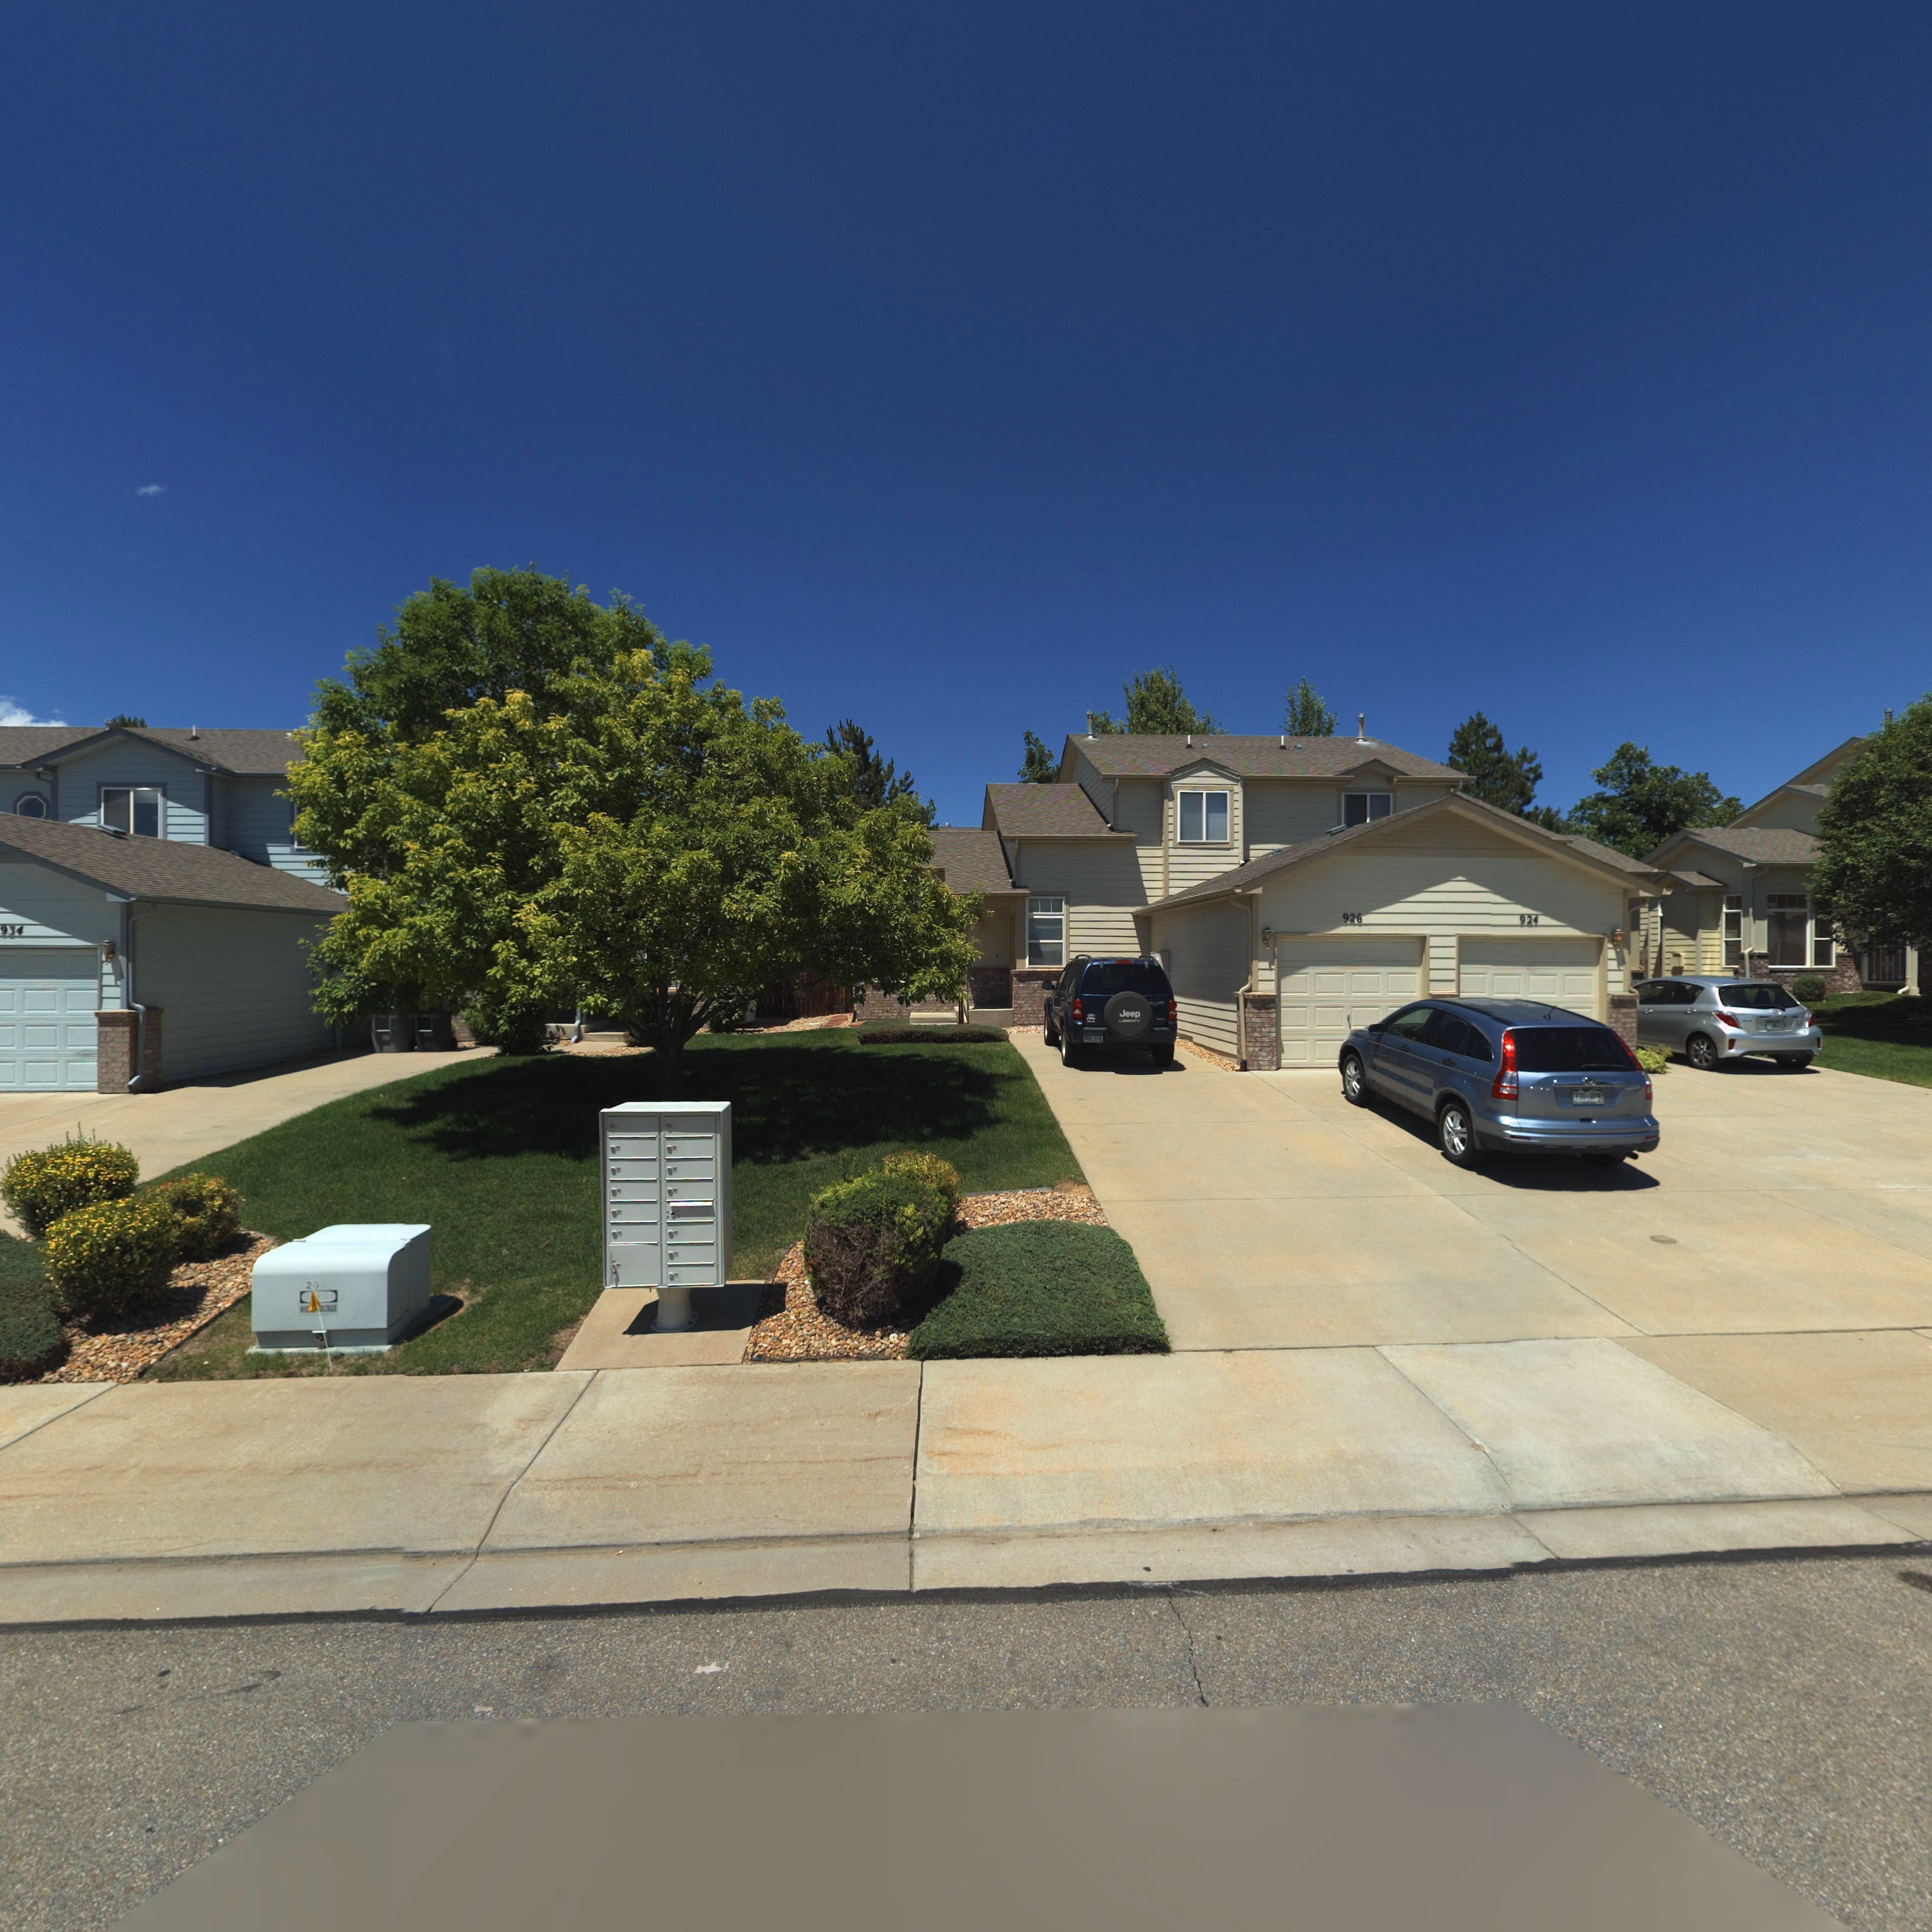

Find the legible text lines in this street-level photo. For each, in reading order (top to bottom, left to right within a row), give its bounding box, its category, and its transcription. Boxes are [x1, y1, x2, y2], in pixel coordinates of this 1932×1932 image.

[1342, 913, 1362, 923] StreetNumber: 926
[1519, 914, 1539, 925] StreetNumber: 924
[0, 925, 24, 935] StreetNumber: 934